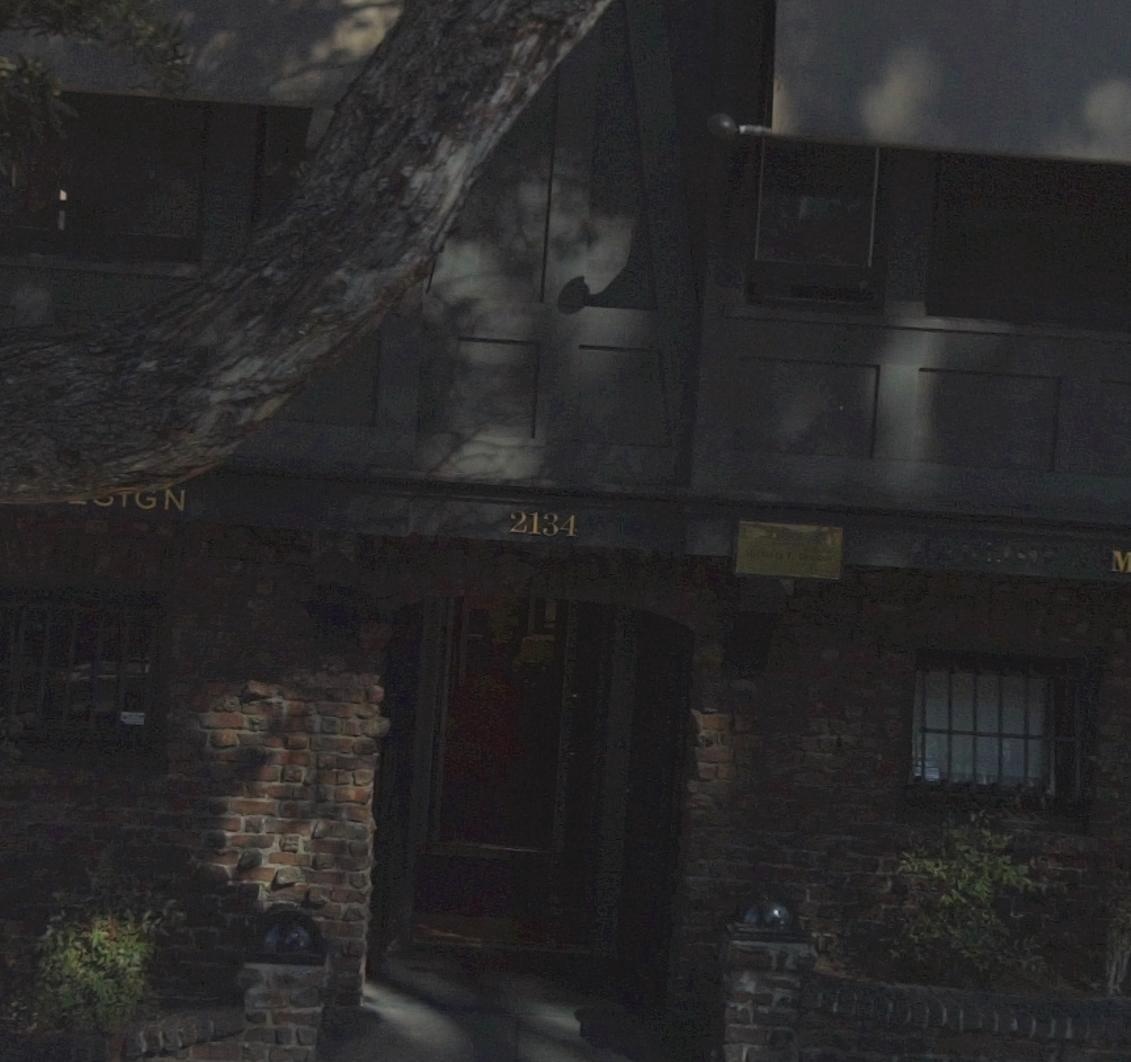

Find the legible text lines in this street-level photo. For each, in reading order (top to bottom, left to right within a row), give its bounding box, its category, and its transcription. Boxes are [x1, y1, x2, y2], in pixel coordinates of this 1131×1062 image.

[161, 487, 187, 512] None: N
[508, 508, 580, 539] StreetNumber: 2134